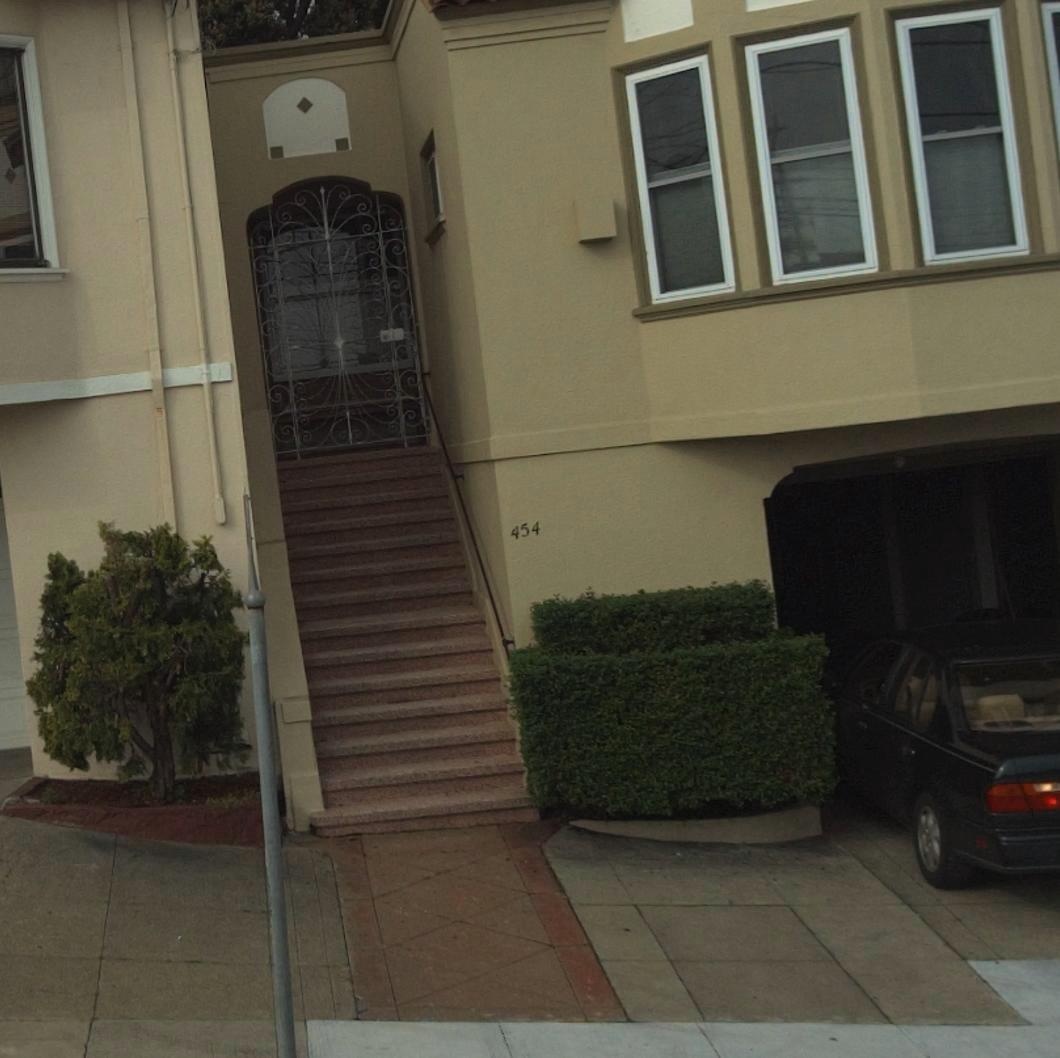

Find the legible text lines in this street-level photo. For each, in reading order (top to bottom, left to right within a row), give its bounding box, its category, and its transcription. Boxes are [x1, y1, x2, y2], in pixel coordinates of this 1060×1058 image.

[508, 517, 543, 541] StreetNumber: 454